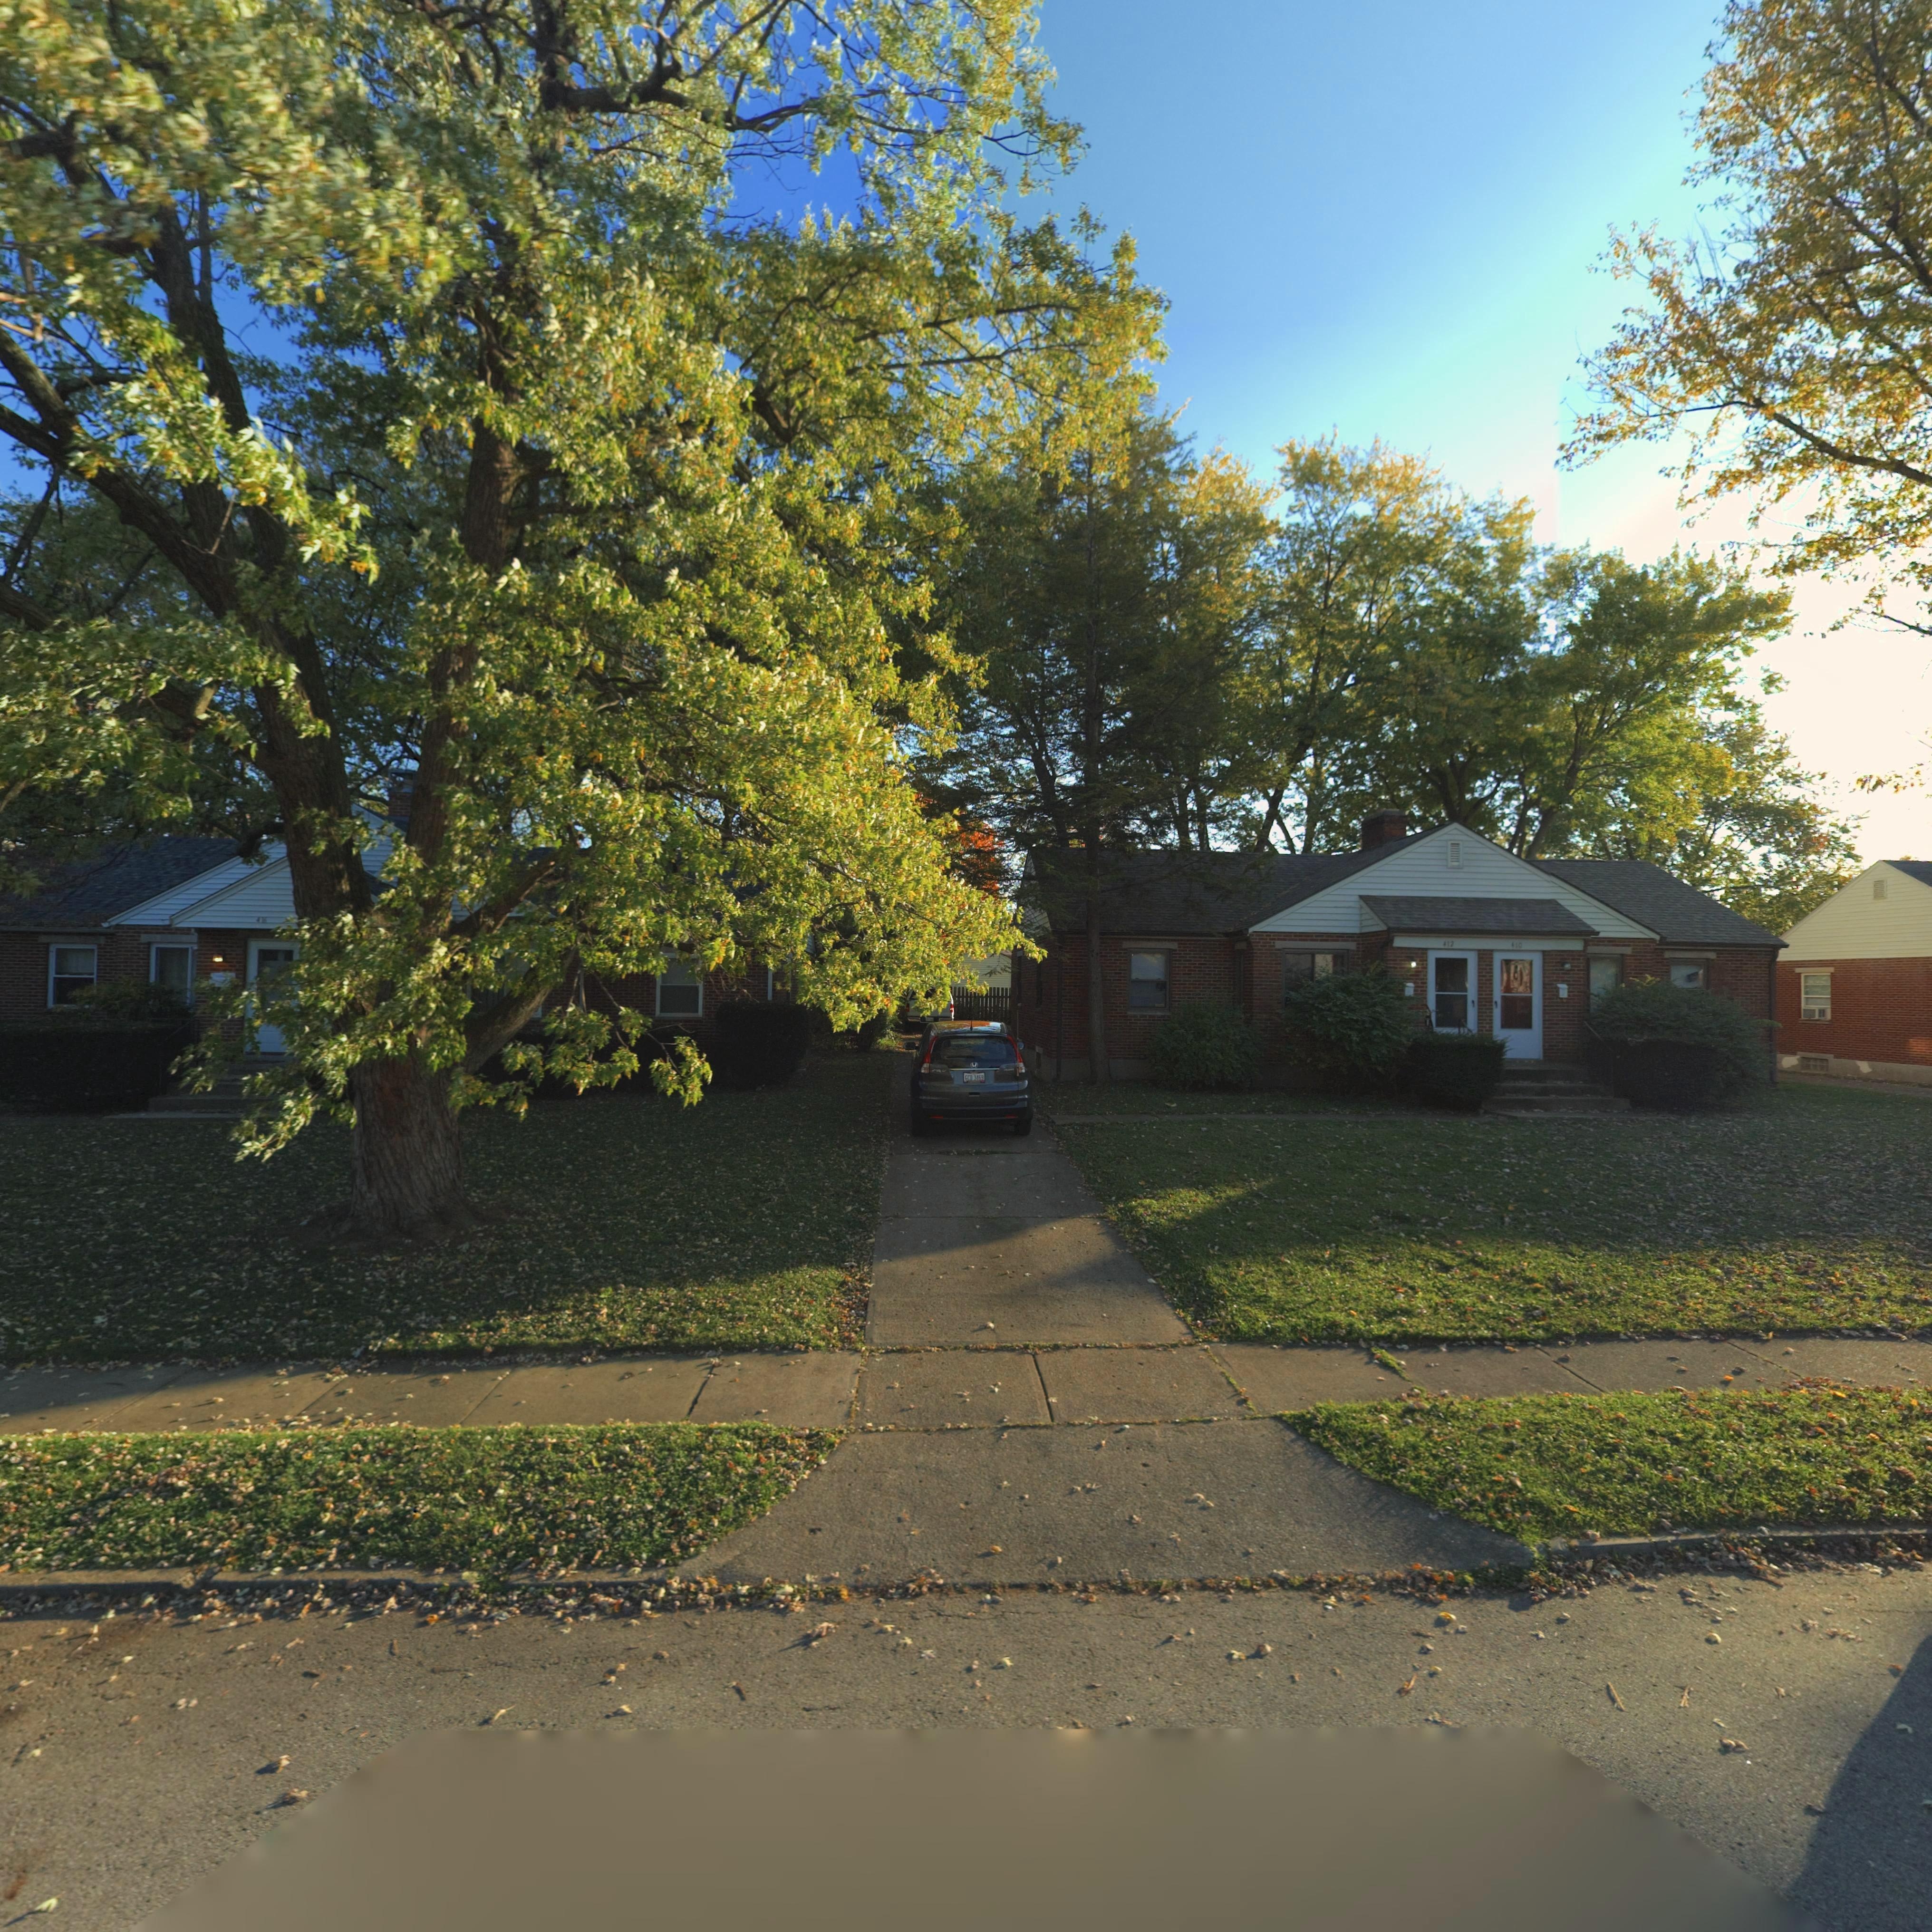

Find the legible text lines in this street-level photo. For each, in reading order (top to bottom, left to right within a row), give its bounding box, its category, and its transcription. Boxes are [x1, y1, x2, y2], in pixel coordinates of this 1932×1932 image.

[255, 915, 269, 925] StreetNumber: 4**
[1441, 939, 1455, 948] StreetNumber: 412
[1509, 941, 1524, 949] StreetNumber: 410